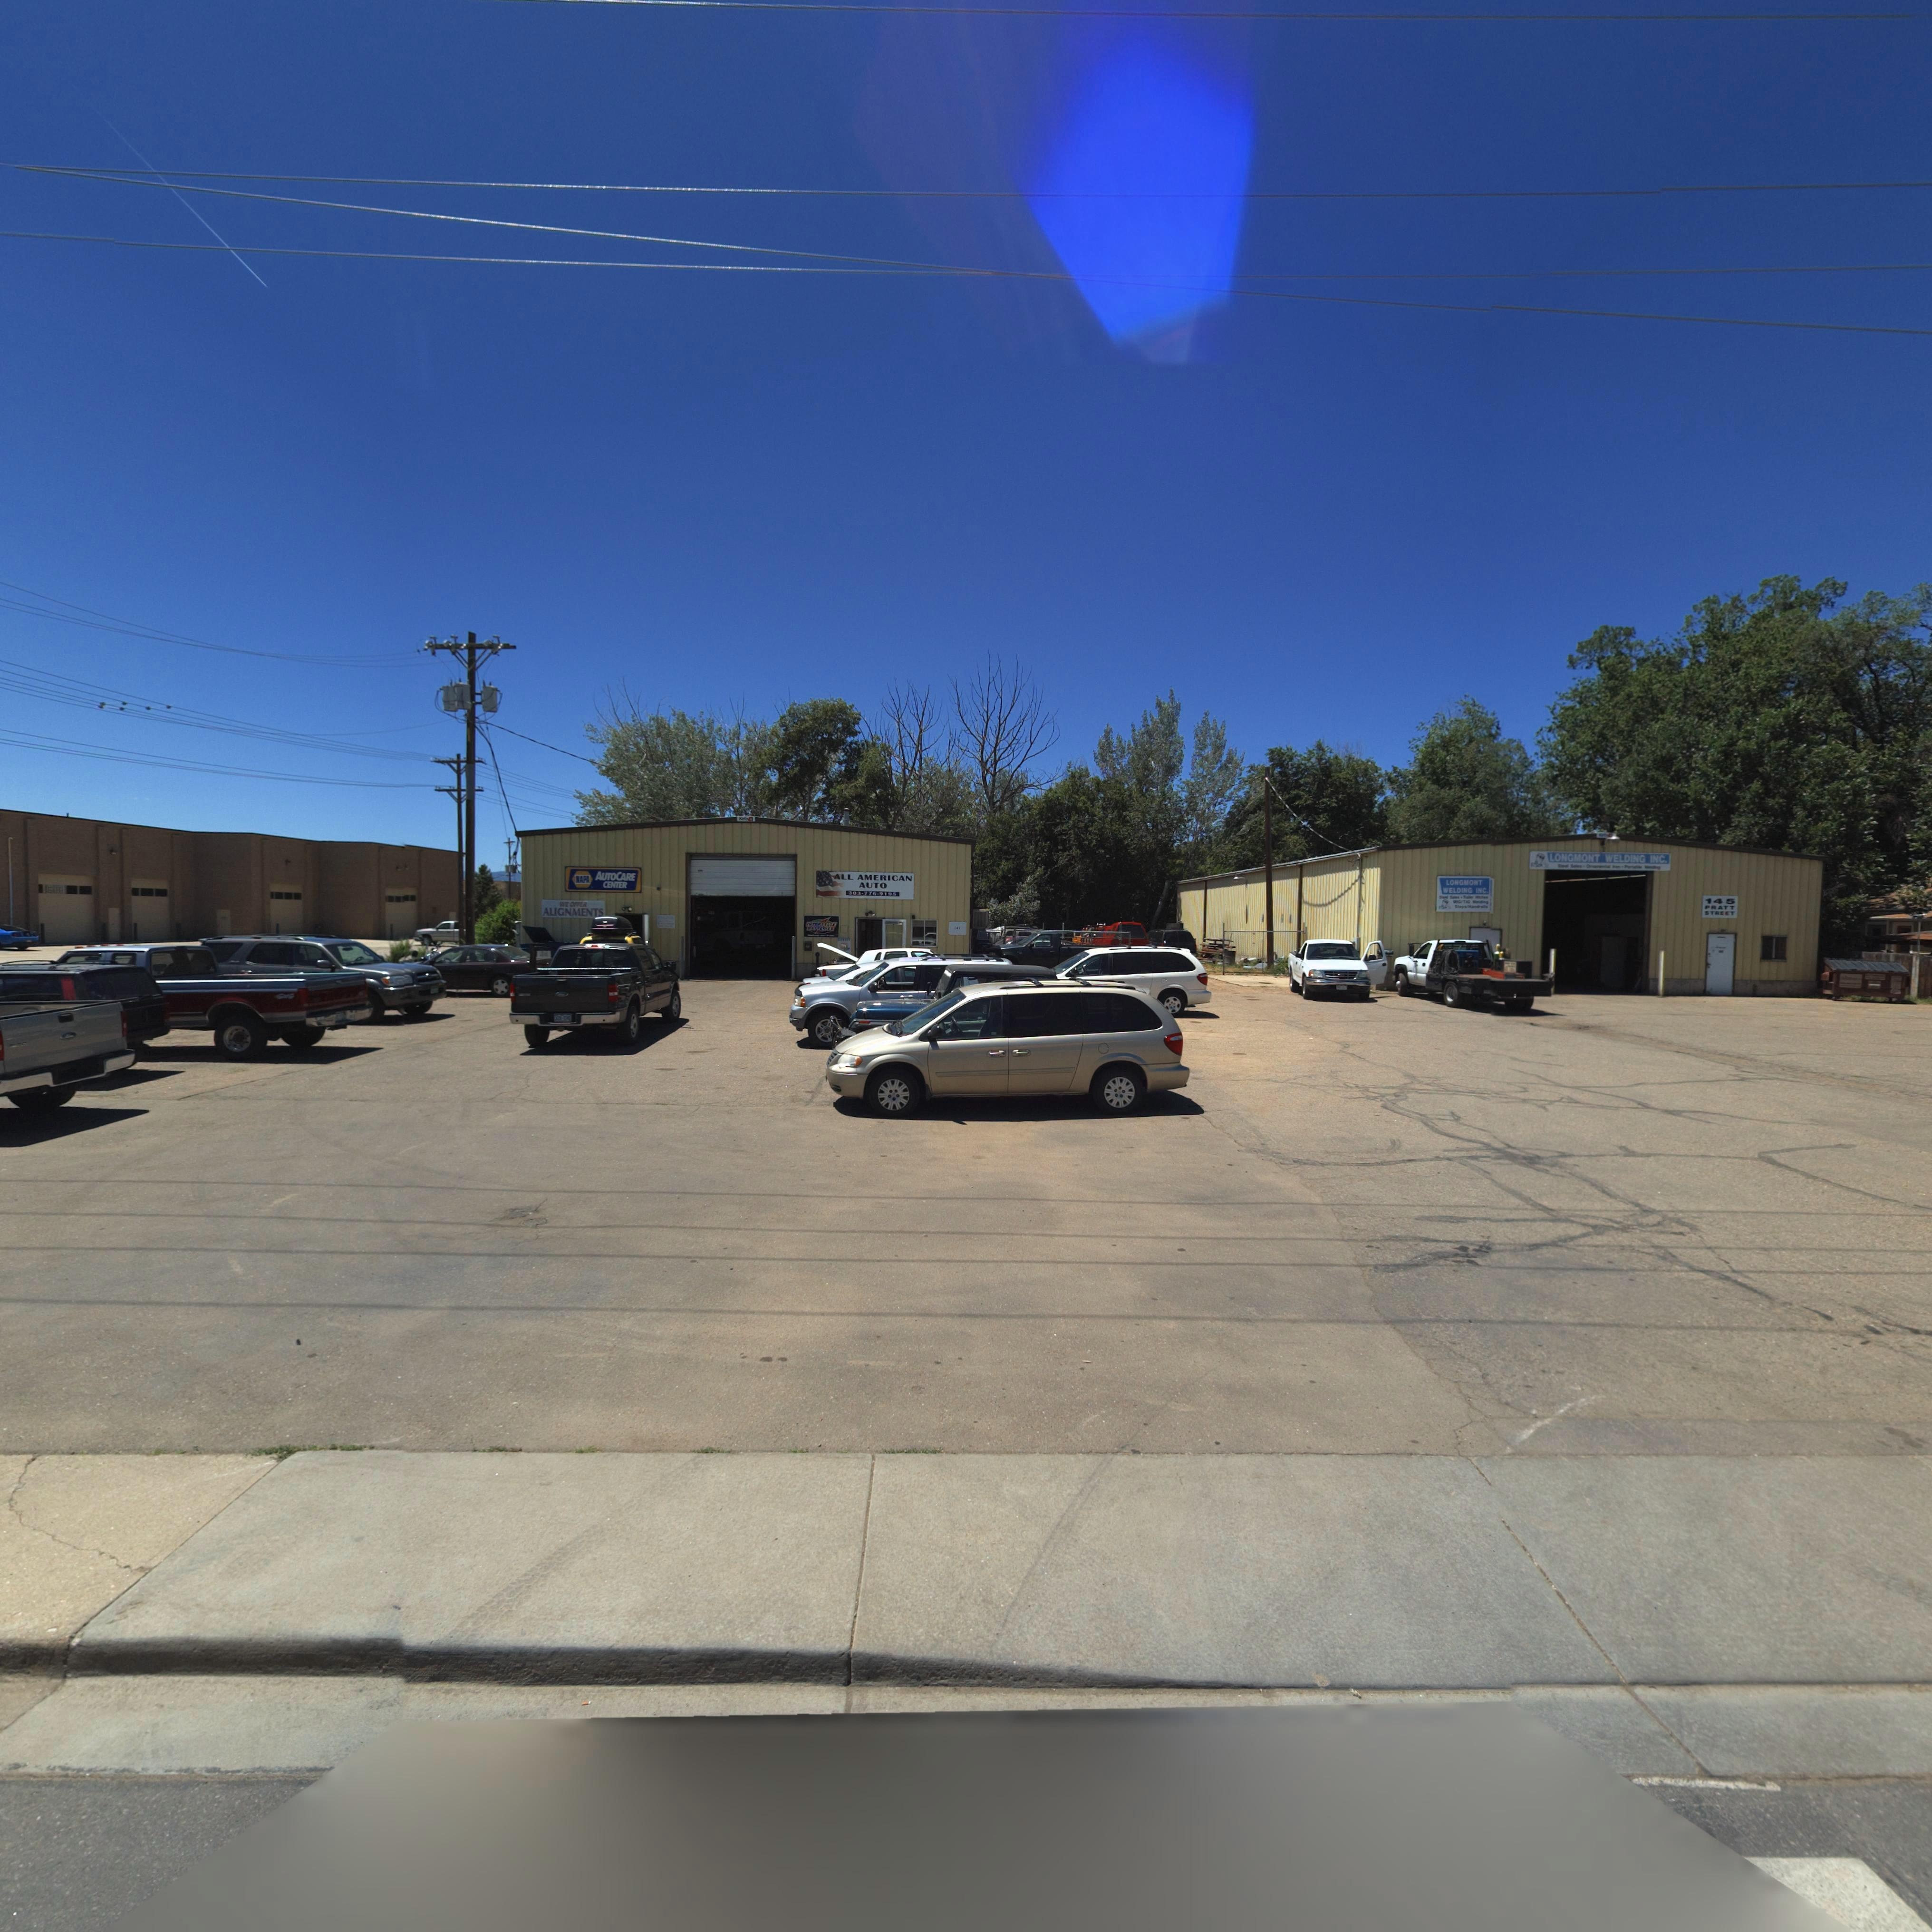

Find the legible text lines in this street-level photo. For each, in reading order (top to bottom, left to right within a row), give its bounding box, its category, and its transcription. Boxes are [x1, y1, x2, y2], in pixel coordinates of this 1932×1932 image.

[1549, 852, 1668, 863] BusinessName: LONGMONT WELDING INC.
[575, 875, 590, 884] BusinessName: NAPA
[594, 870, 636, 881] BusinessName: AUTOCARE
[602, 881, 628, 888] BusinessName: CENTER
[833, 873, 912, 881] BusinessName: ALL AMERICAN
[858, 882, 888, 889] BusinessName: AUTO
[1446, 879, 1483, 886] BusinessName: LONGMONT
[1442, 887, 1489, 893] BusinessName: WELDING INC.
[1704, 898, 1736, 905] StreetNumber: 145
[1704, 905, 1735, 910] StreetName: PRATT
[1705, 911, 1736, 916] StreetName: STREET
[954, 926, 961, 930] StreetNumber: 14*